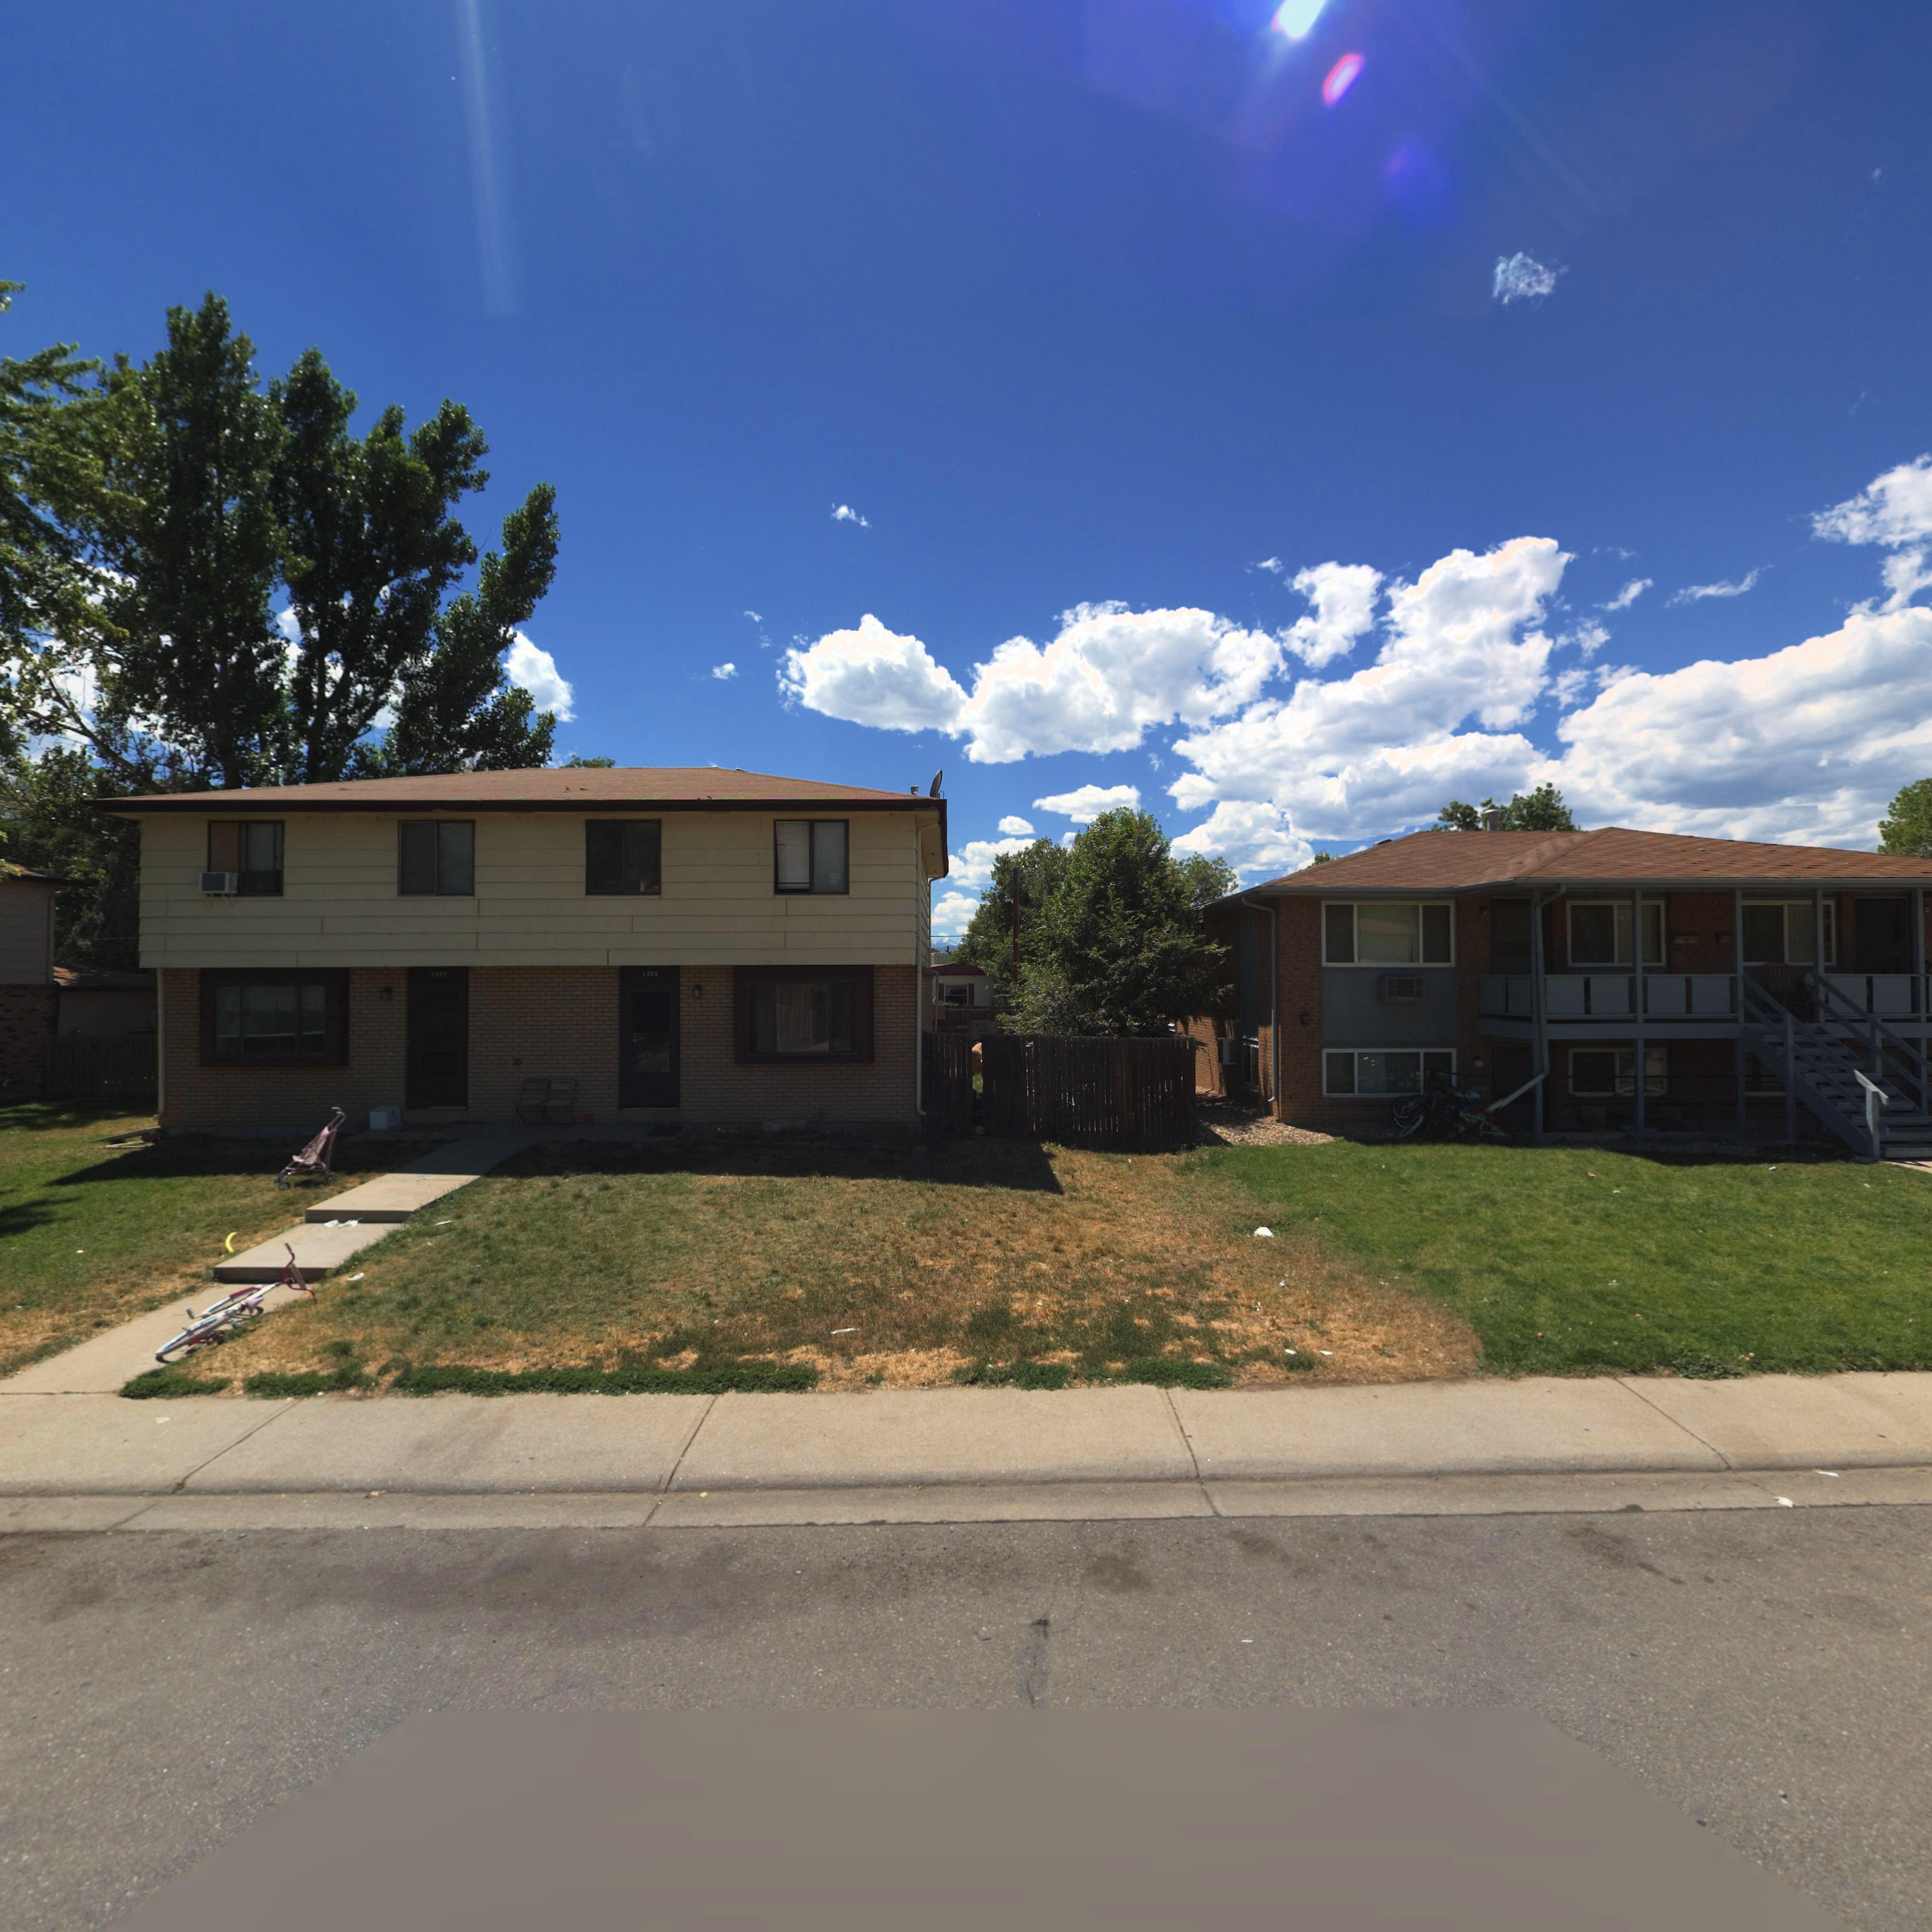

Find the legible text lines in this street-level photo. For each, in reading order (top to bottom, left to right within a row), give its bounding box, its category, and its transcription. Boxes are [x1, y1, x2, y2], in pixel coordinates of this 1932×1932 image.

[431, 971, 446, 977] StreetNumber: 1357
[643, 971, 658, 976] StreetNumber: 1359